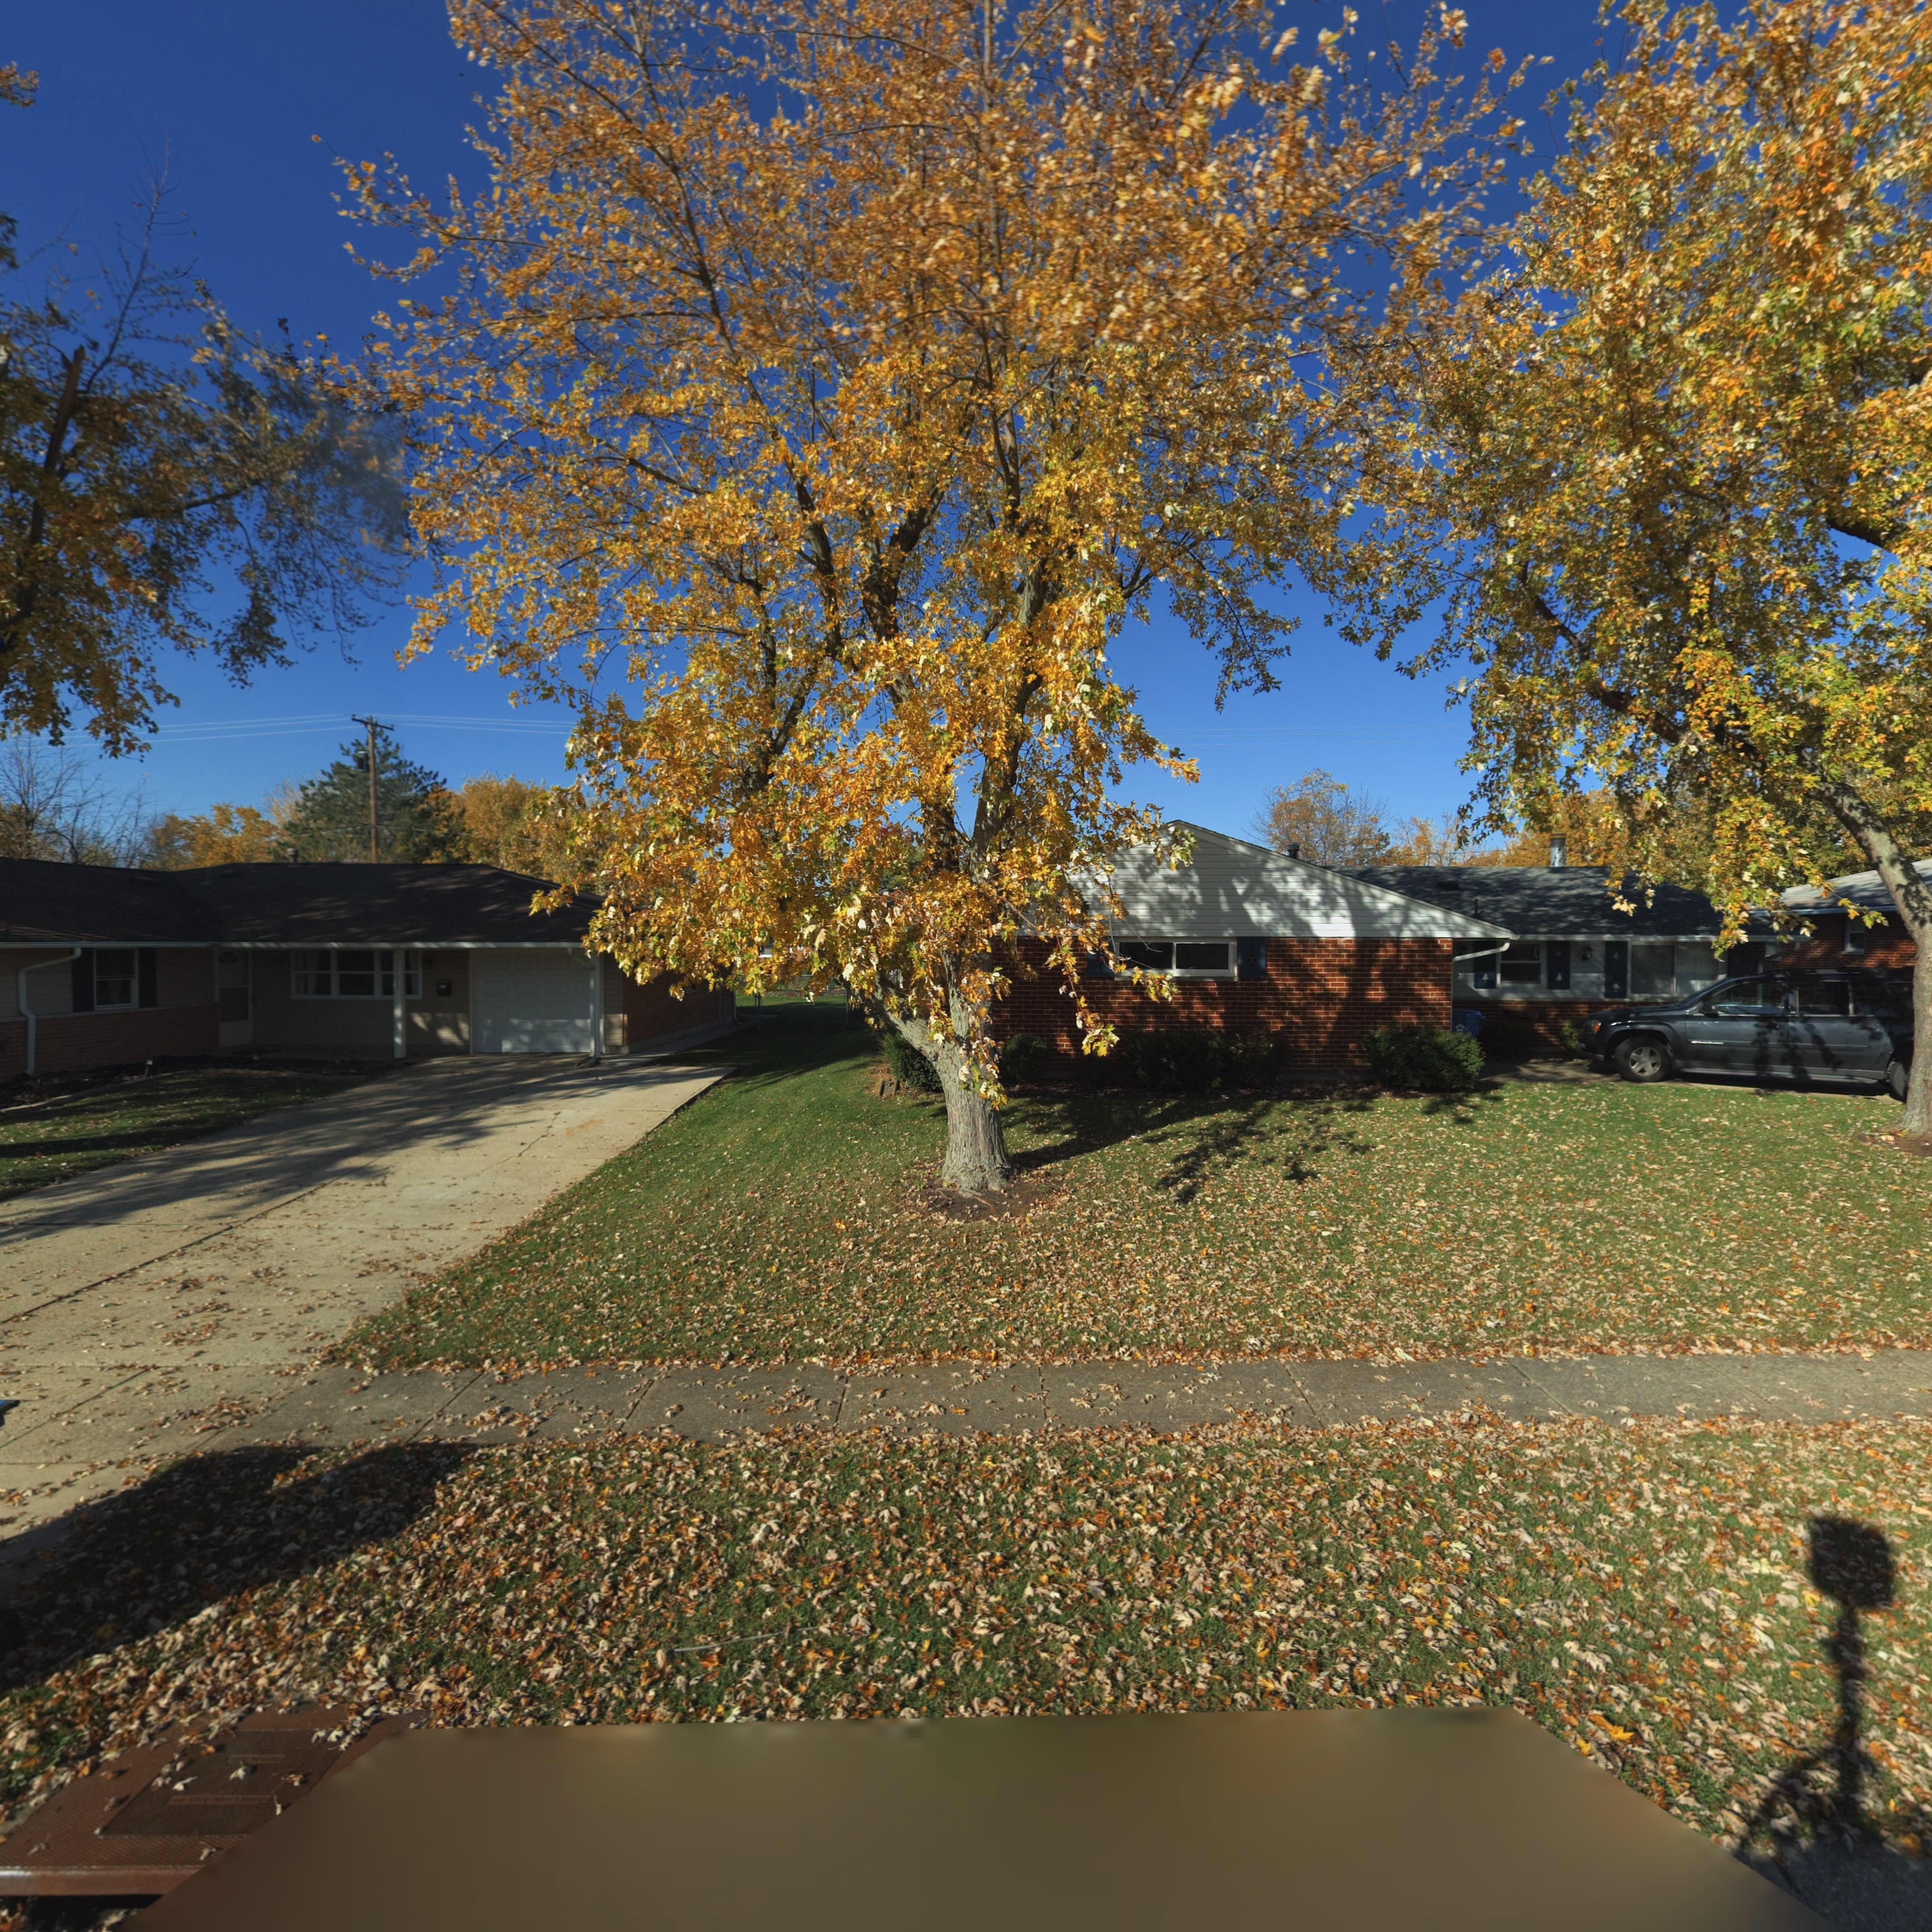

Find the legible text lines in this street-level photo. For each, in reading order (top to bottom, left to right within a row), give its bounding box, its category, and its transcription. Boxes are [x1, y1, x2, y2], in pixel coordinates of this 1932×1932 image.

[394, 956, 400, 990] StreetNumber: 77*1